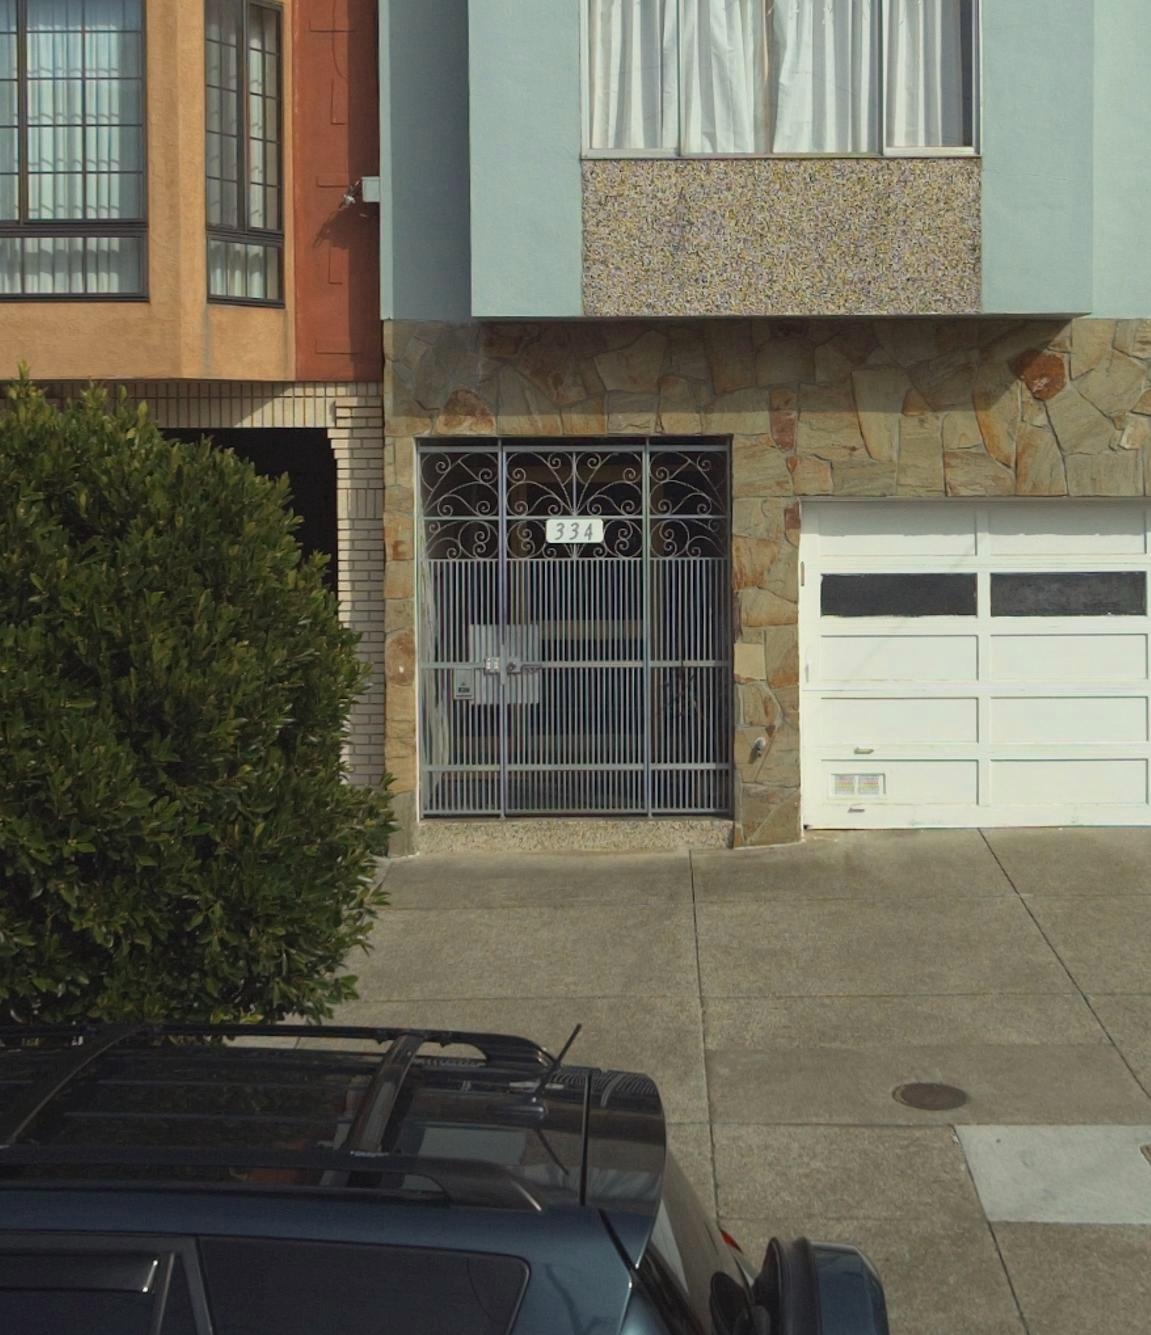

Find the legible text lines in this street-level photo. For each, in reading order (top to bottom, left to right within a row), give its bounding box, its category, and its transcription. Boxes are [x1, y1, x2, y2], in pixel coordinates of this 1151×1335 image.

[552, 521, 595, 542] StreetNumber: 334